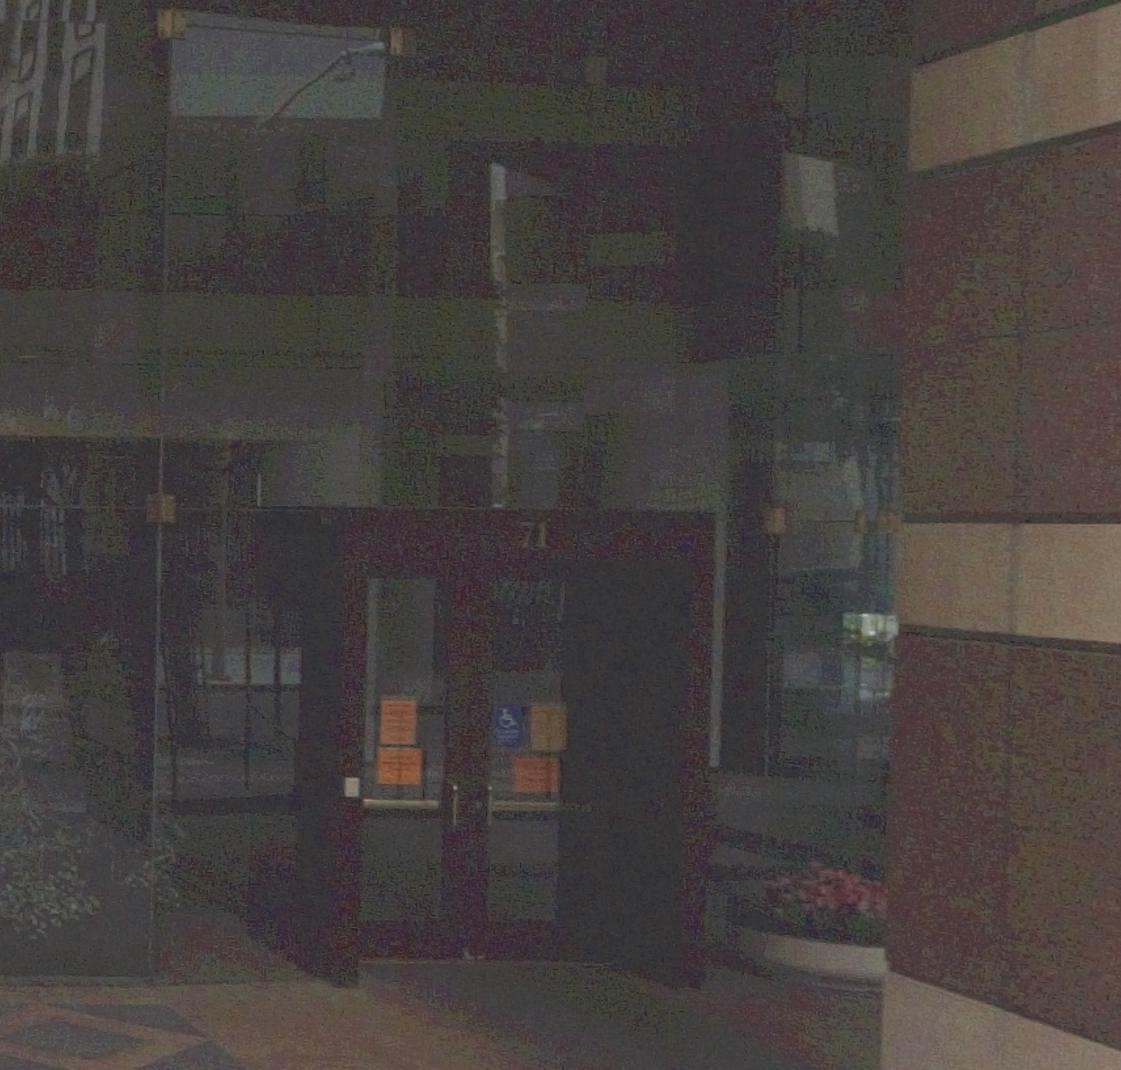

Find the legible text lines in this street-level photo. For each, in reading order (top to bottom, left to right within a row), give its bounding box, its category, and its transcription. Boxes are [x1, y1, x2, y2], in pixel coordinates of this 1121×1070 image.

[518, 519, 549, 551] StreetNumber: 71